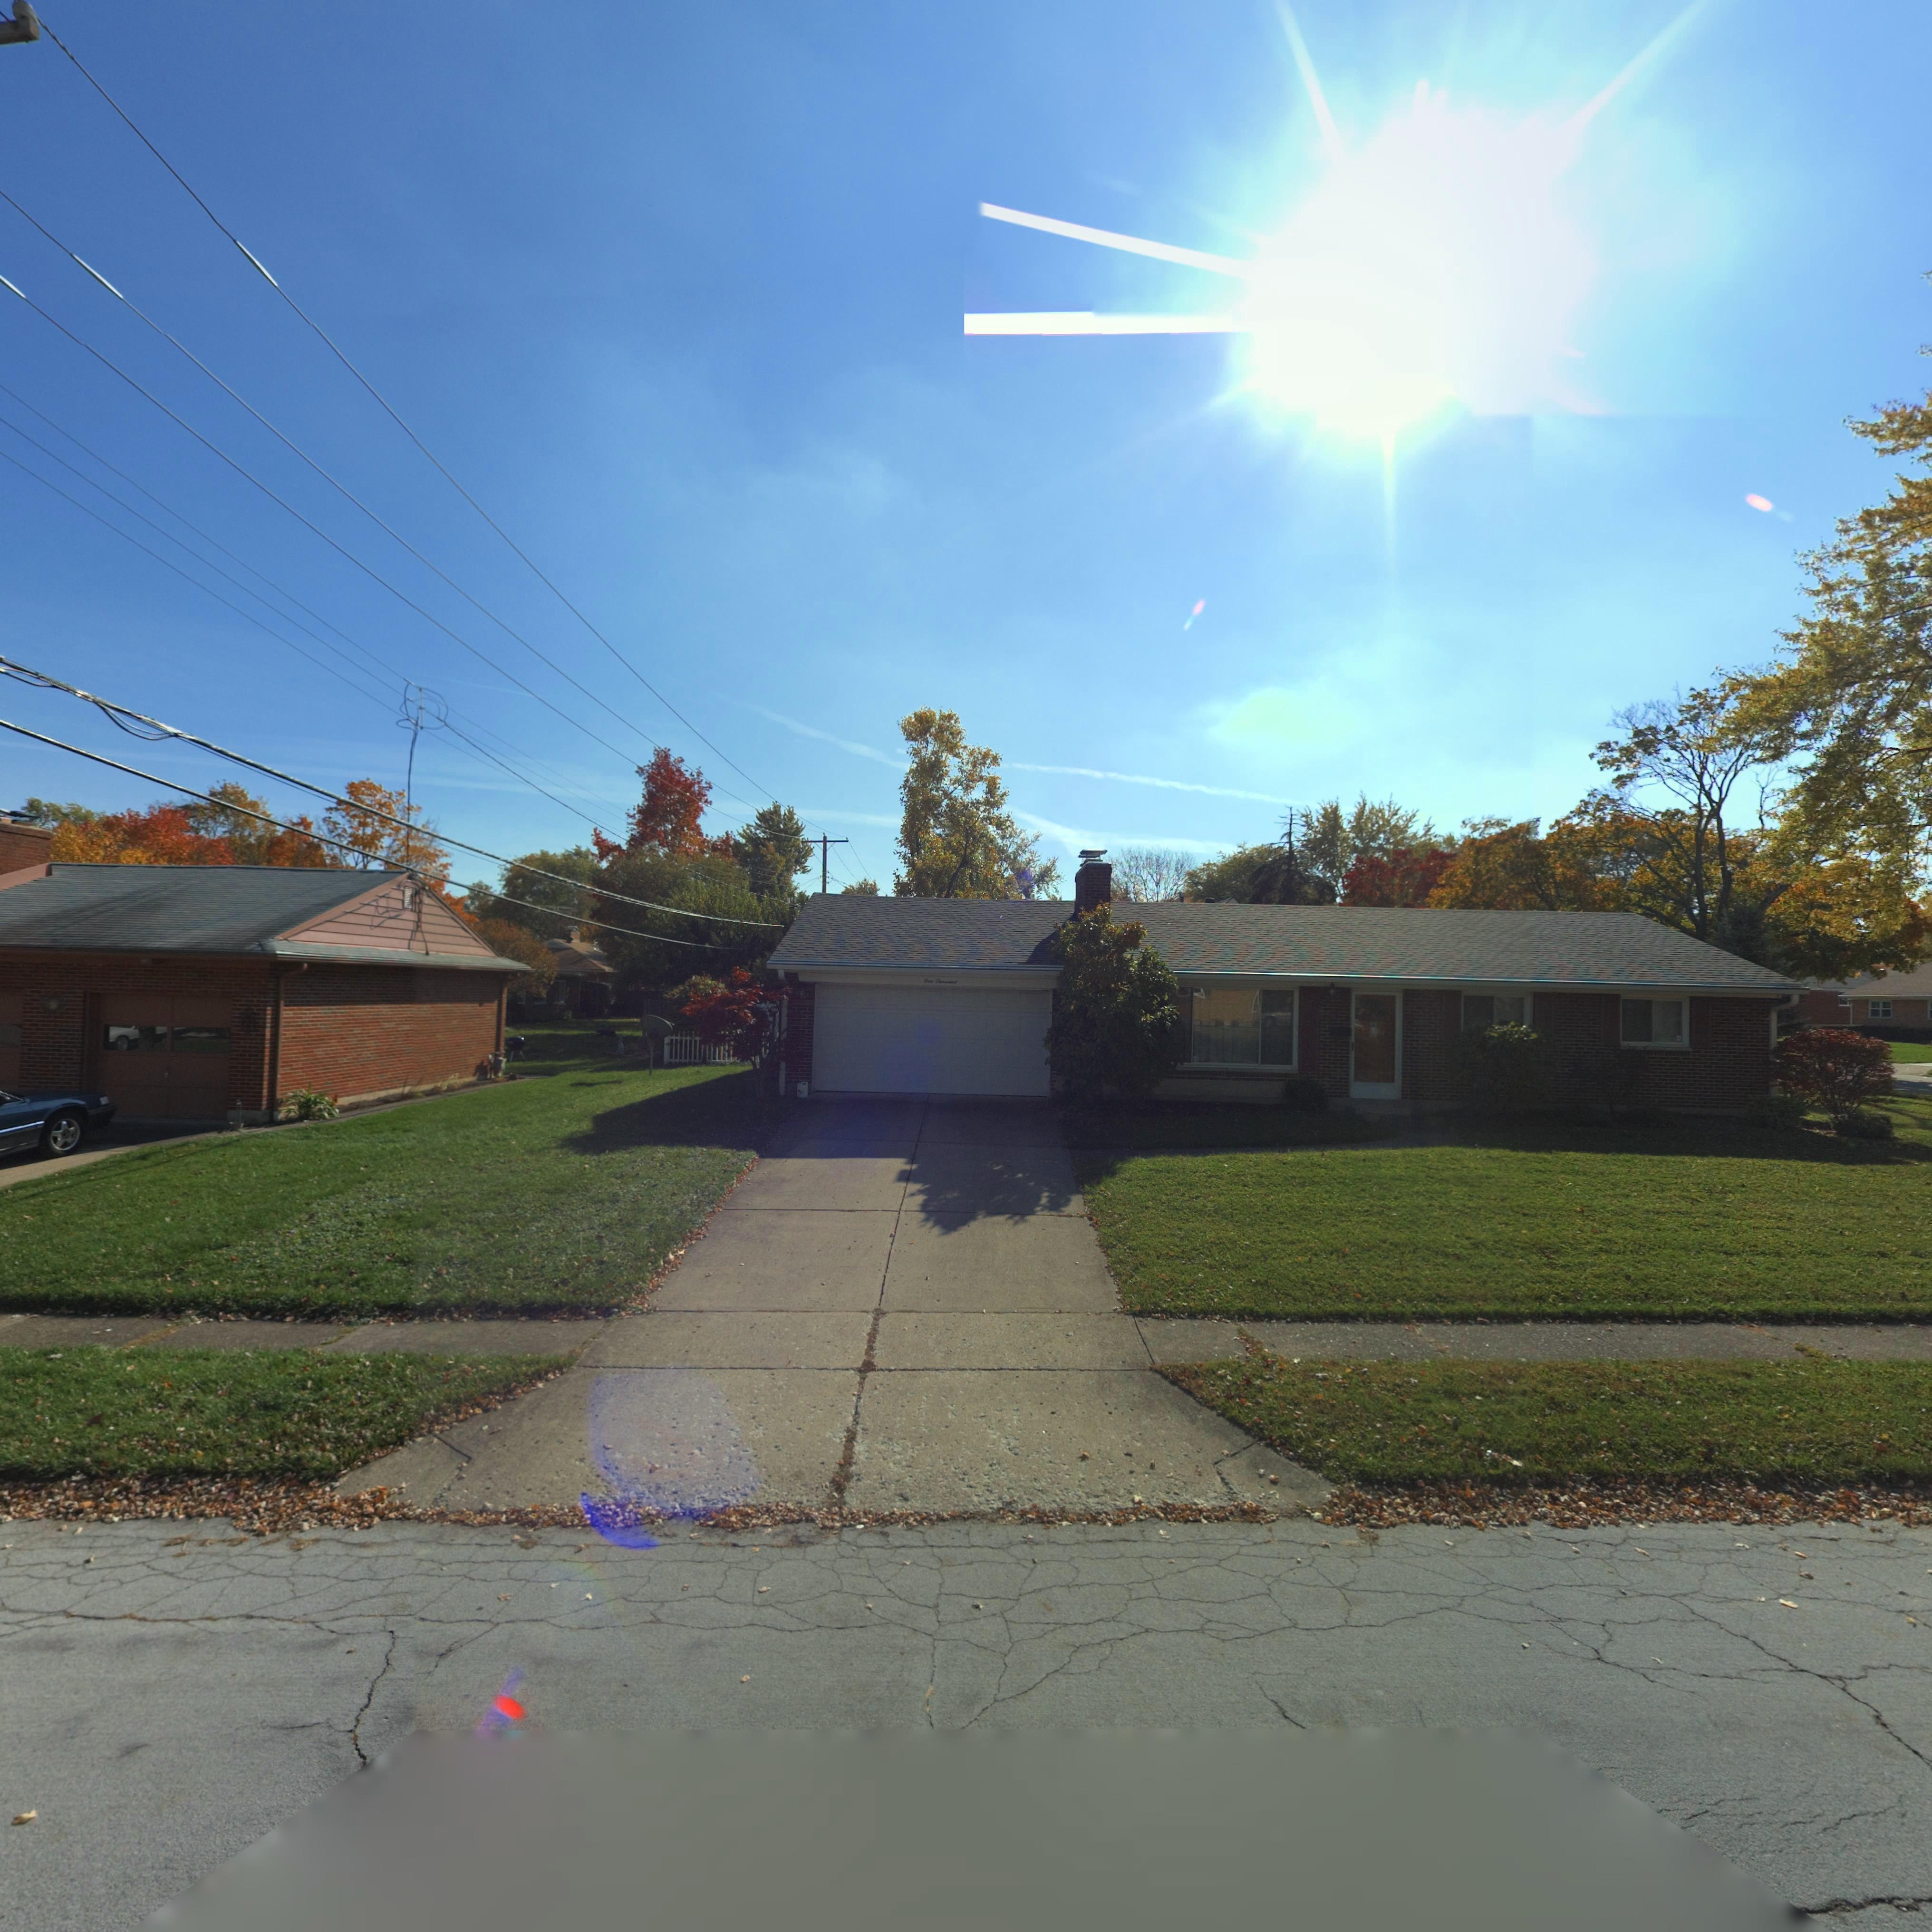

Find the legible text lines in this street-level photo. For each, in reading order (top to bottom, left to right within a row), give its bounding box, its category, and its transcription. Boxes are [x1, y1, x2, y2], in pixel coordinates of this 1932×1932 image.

[923, 977, 941, 985] StreetNumber: O** T